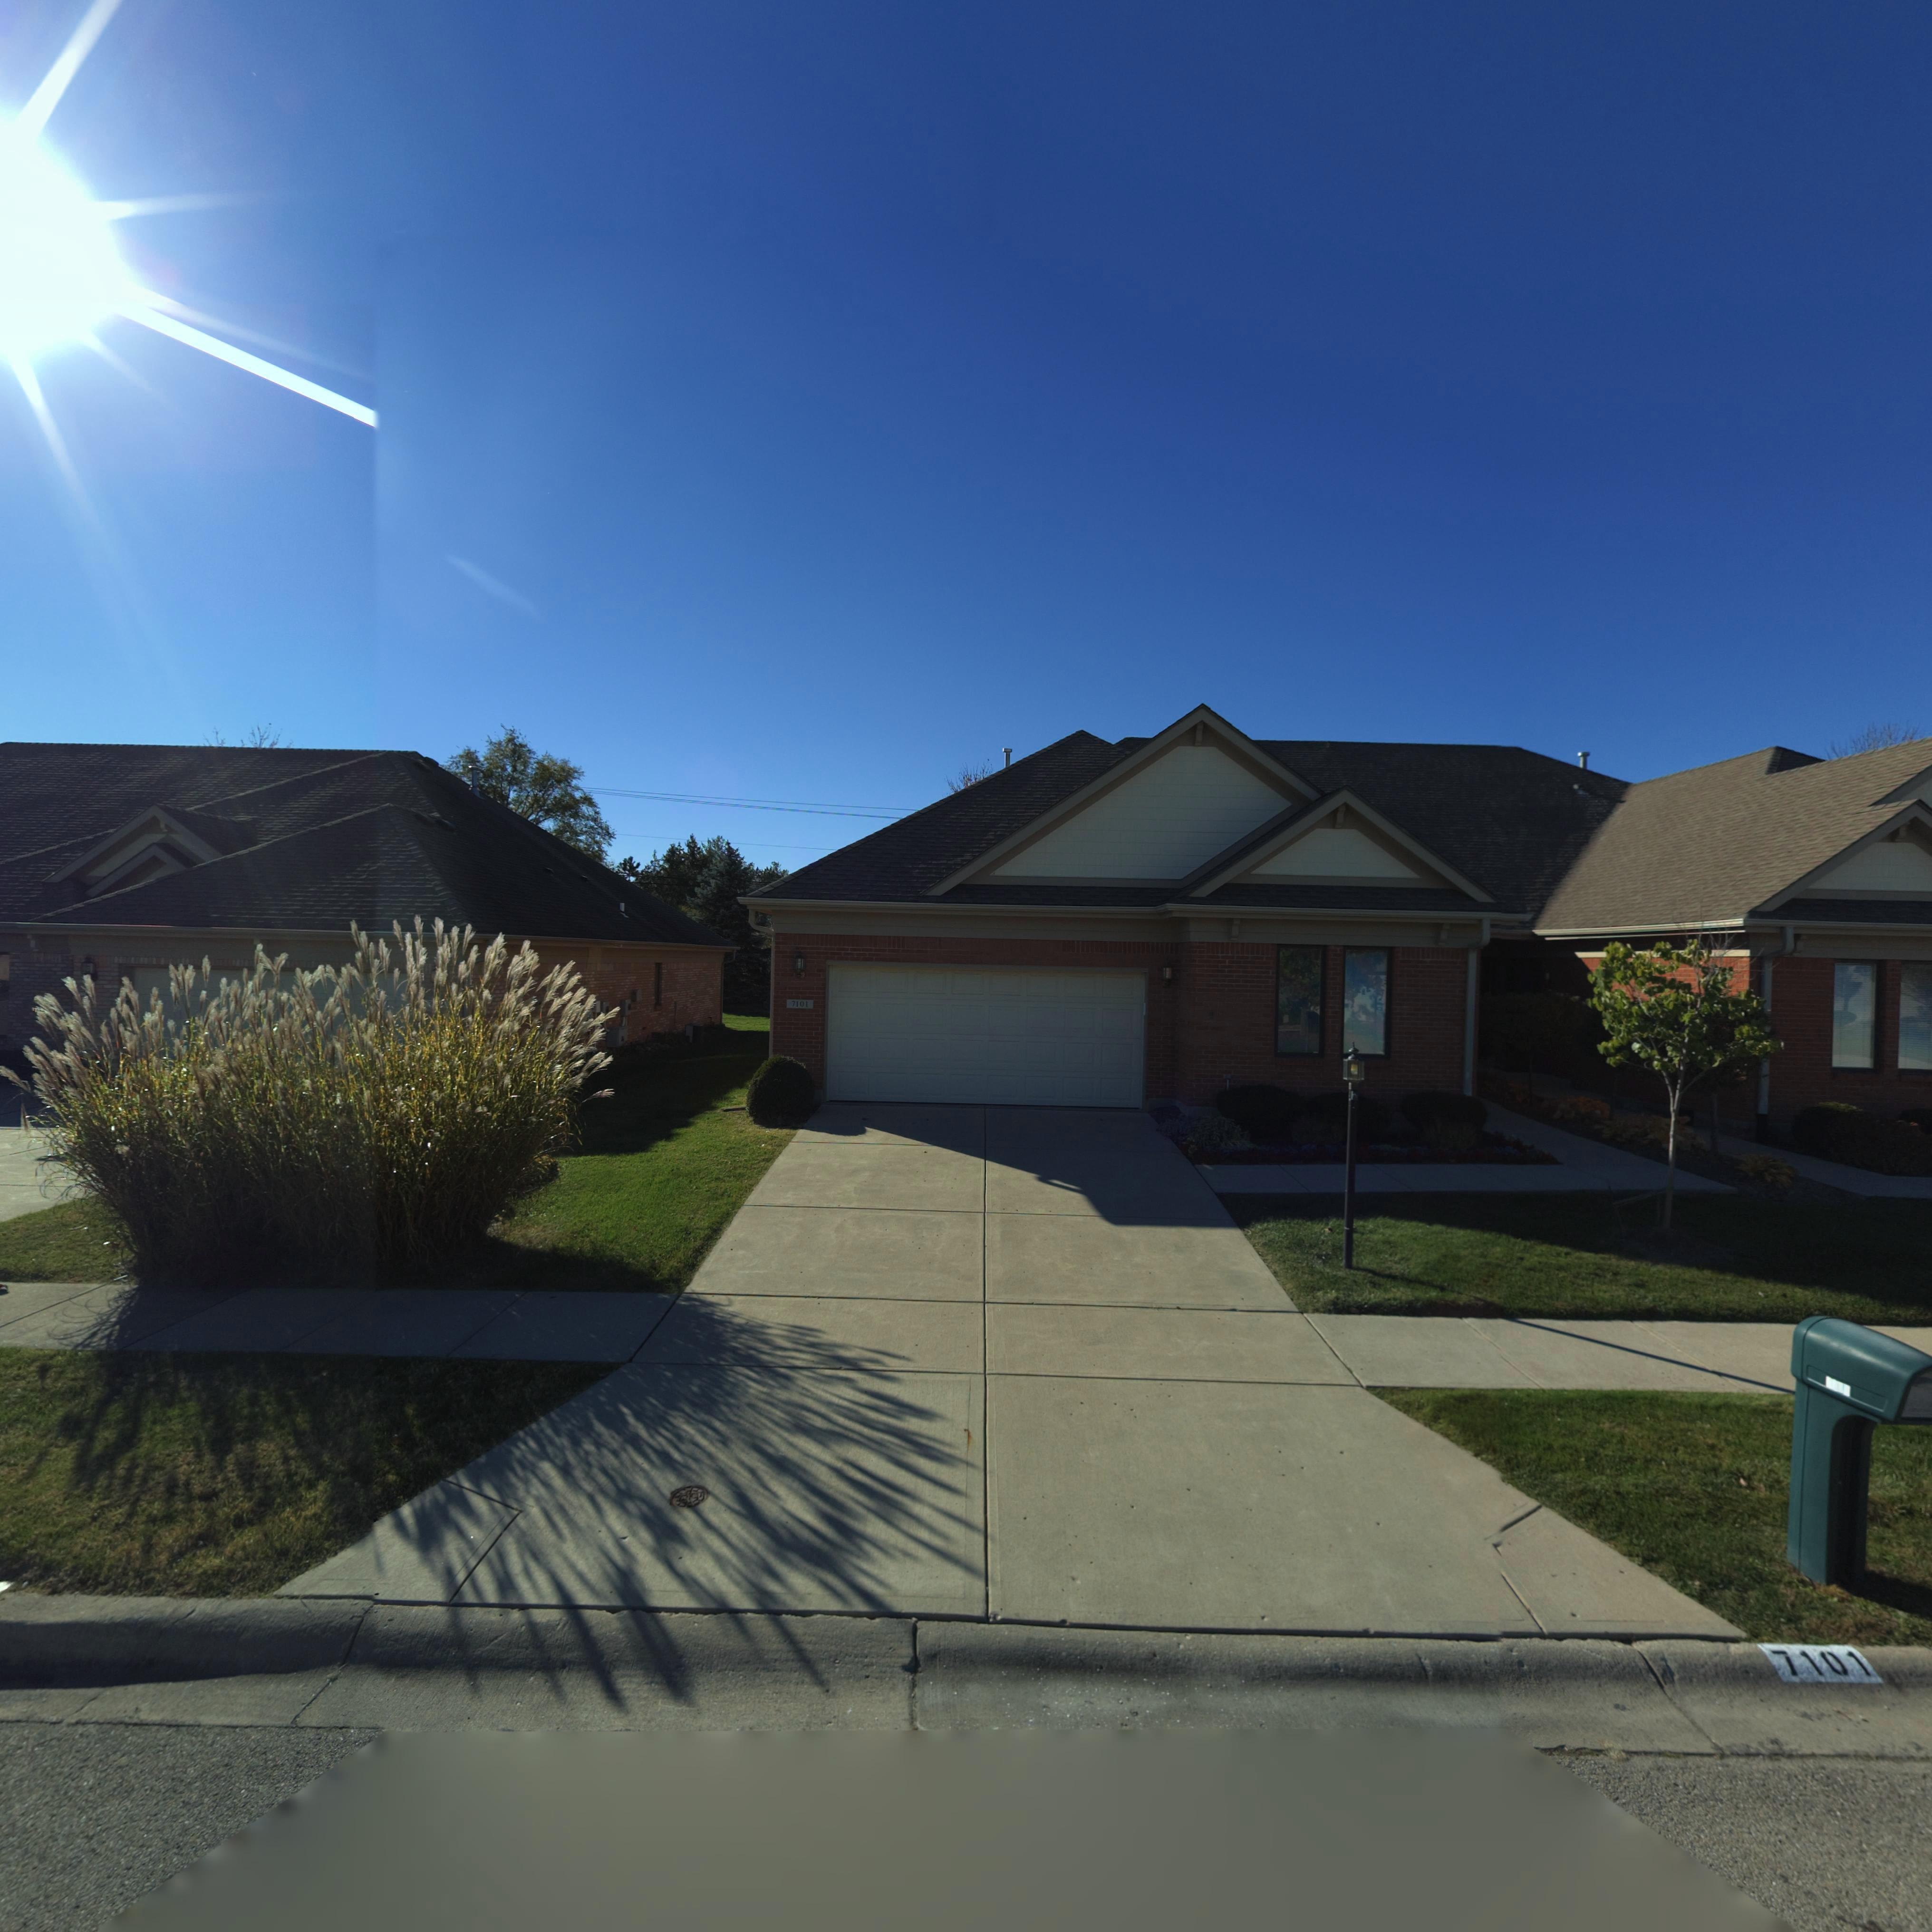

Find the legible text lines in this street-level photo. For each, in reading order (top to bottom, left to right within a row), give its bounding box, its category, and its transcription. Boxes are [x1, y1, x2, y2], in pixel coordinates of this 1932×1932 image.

[791, 1000, 809, 1008] StreetNumber: 7101
[1769, 1648, 1874, 1677] StreetNumber: 7101